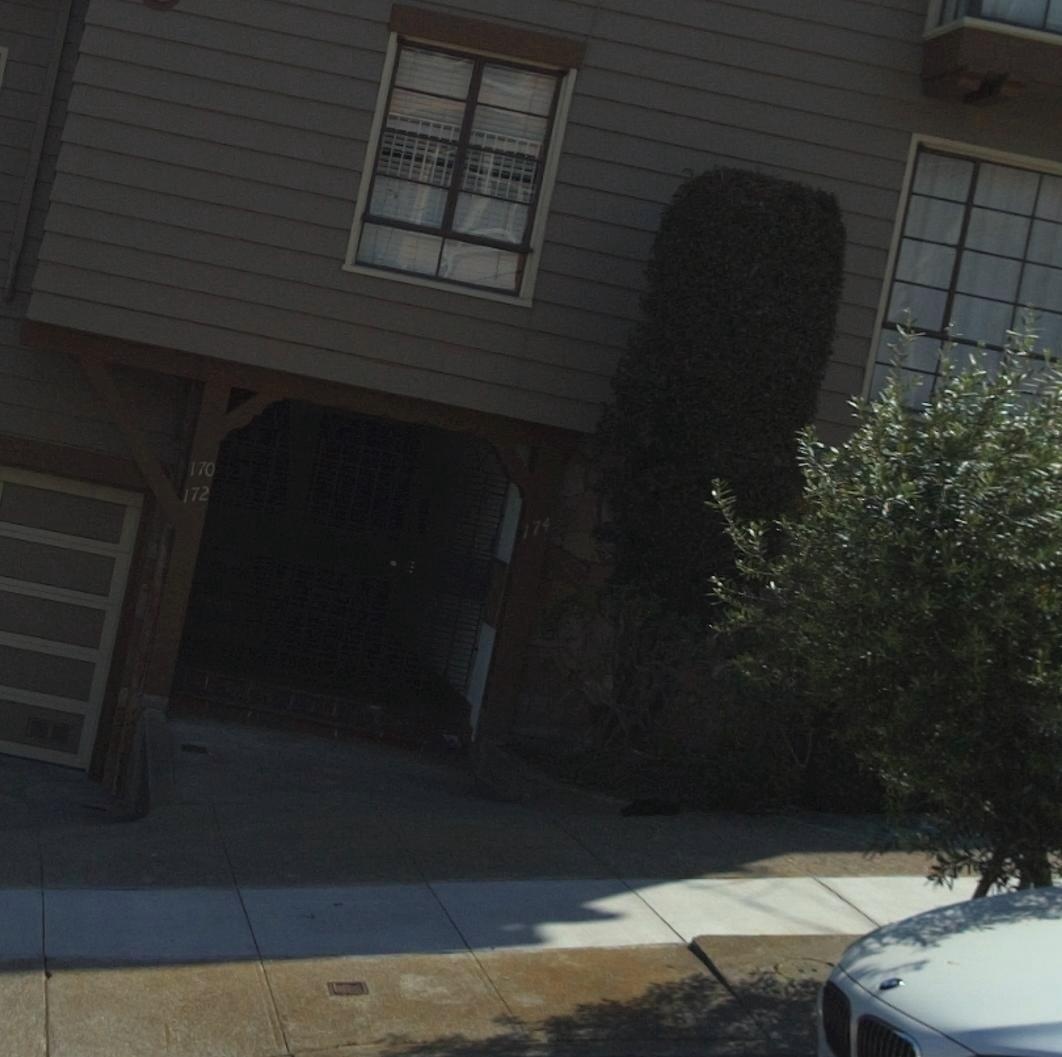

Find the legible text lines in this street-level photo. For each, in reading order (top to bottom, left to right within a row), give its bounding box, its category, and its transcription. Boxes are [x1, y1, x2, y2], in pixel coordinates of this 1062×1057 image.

[186, 460, 217, 478] StreetNumber: 170
[181, 484, 211, 504] StreetNumber: 172
[521, 514, 552, 542] StreetNumber: 174